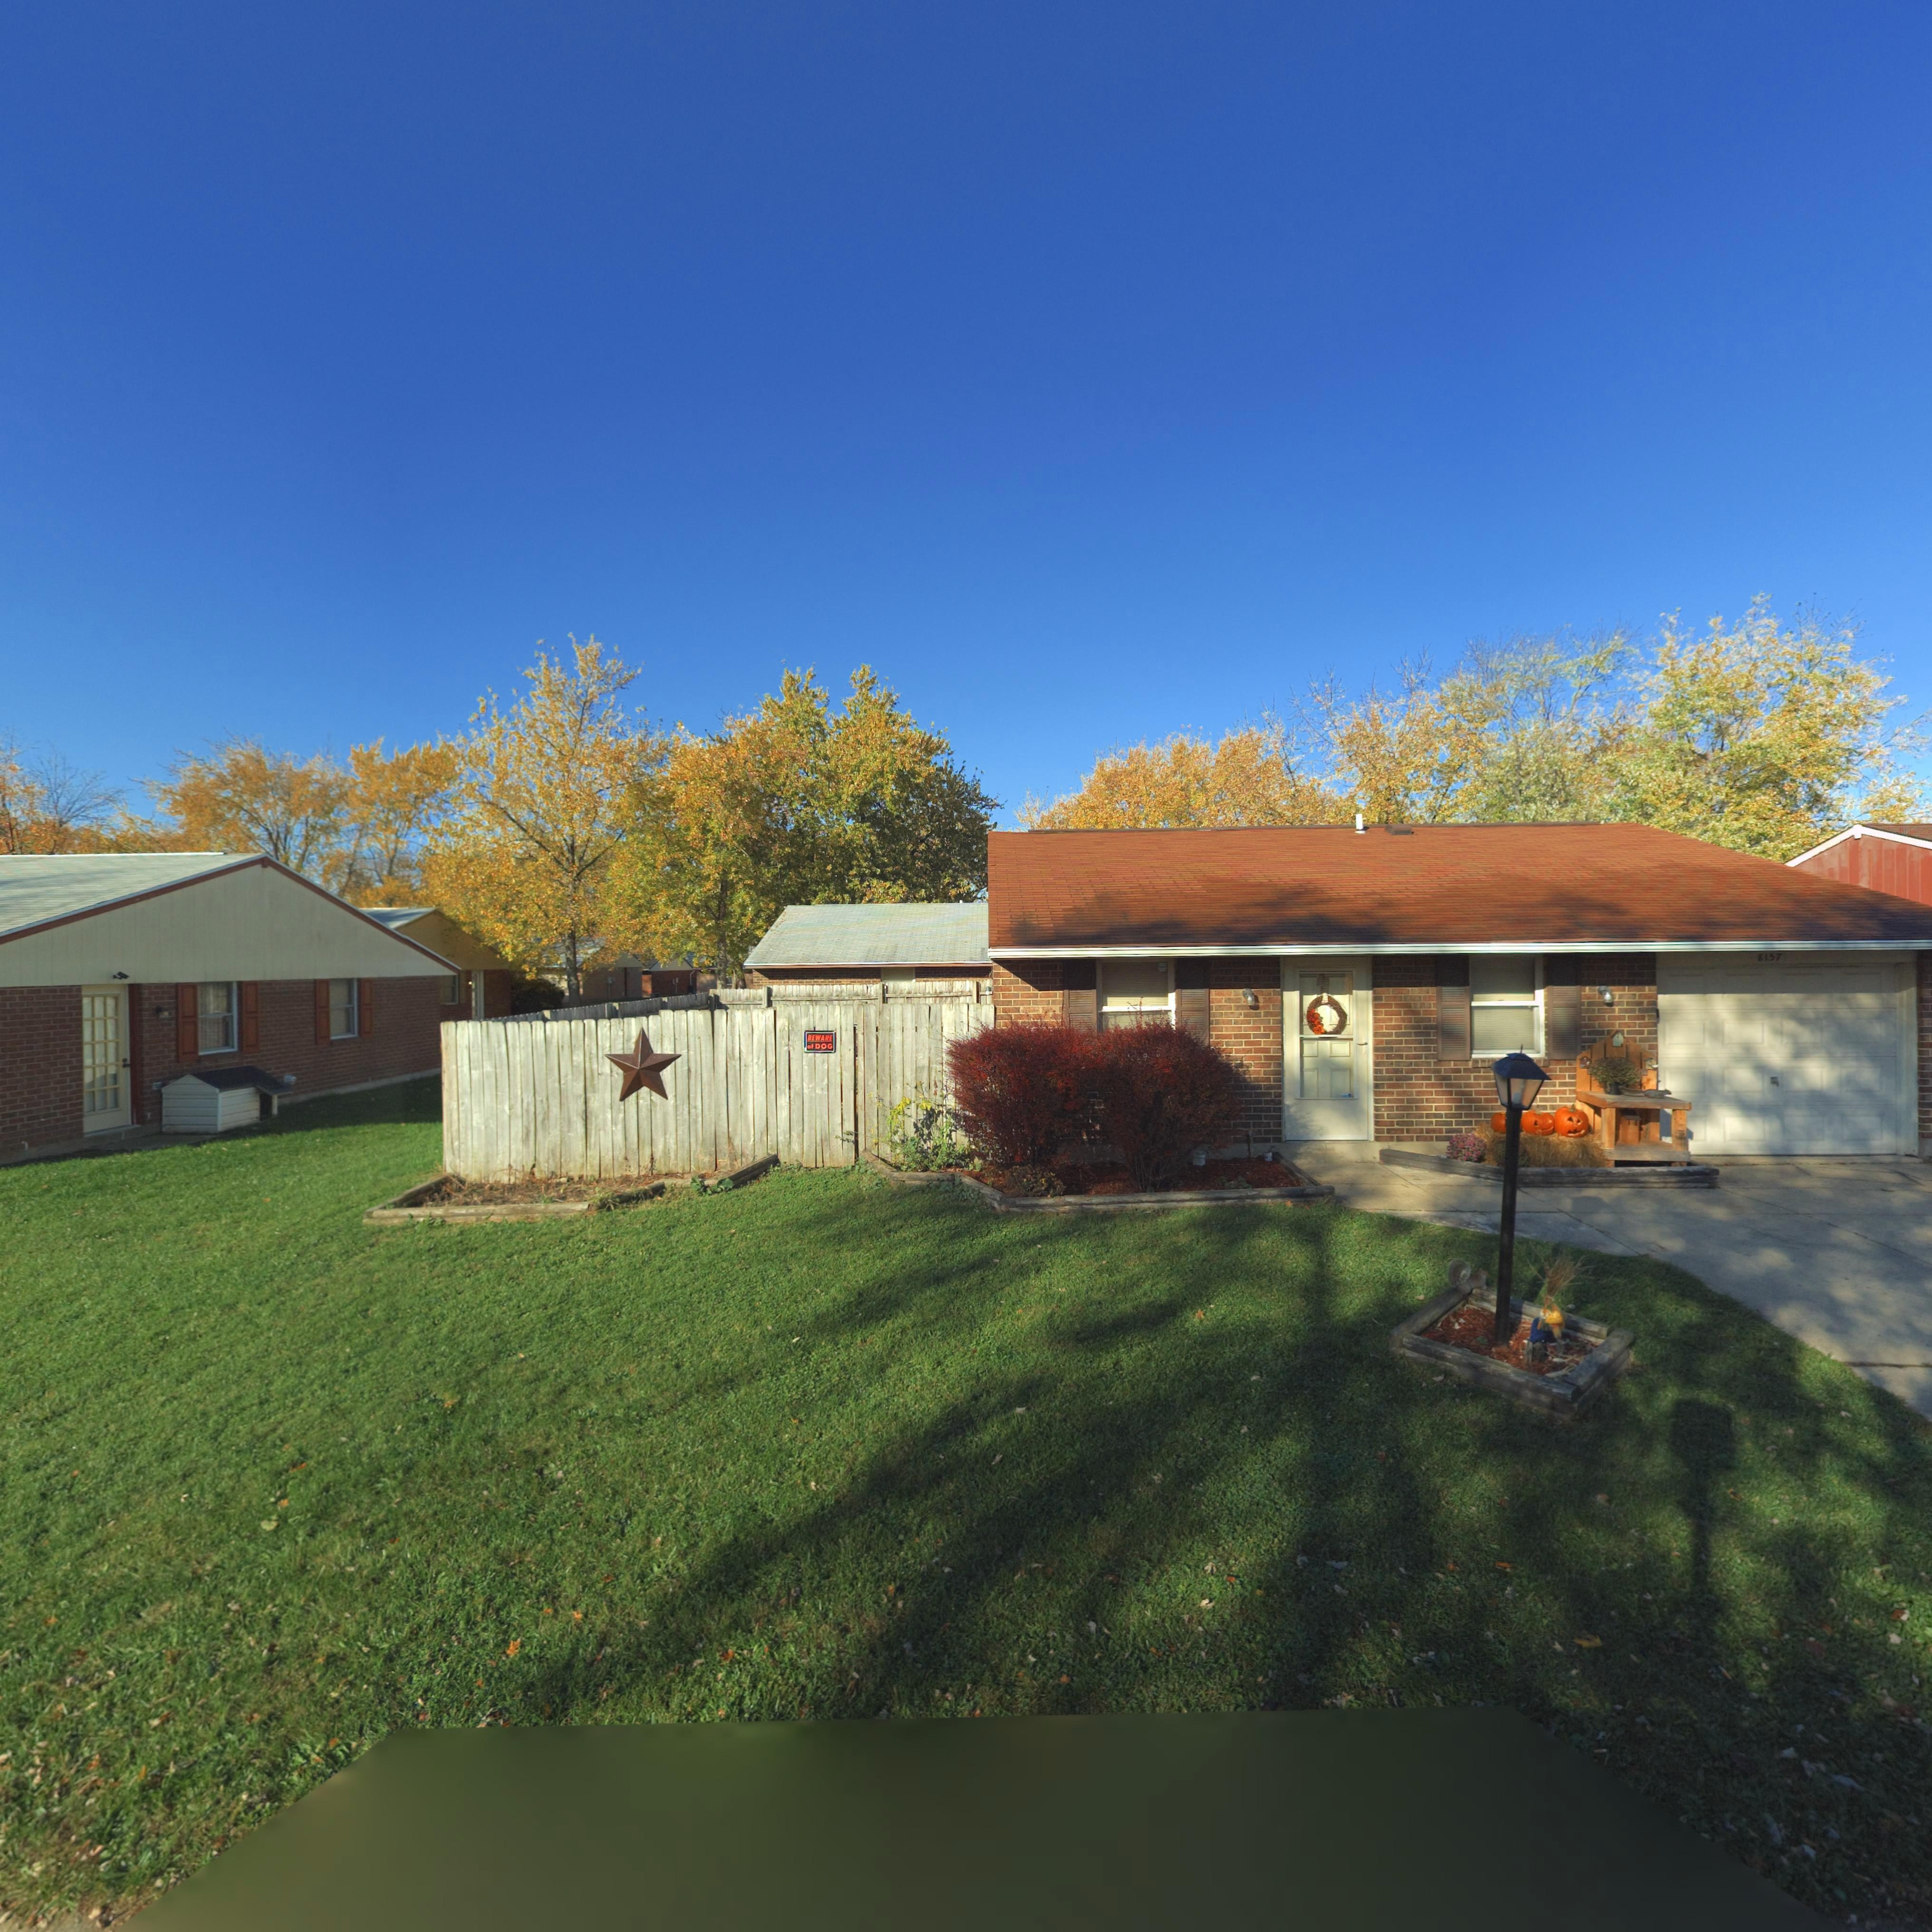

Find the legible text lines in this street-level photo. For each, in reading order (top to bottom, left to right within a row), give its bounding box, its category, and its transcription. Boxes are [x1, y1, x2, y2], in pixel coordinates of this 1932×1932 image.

[1757, 952, 1783, 961] StreetNumber: 8157